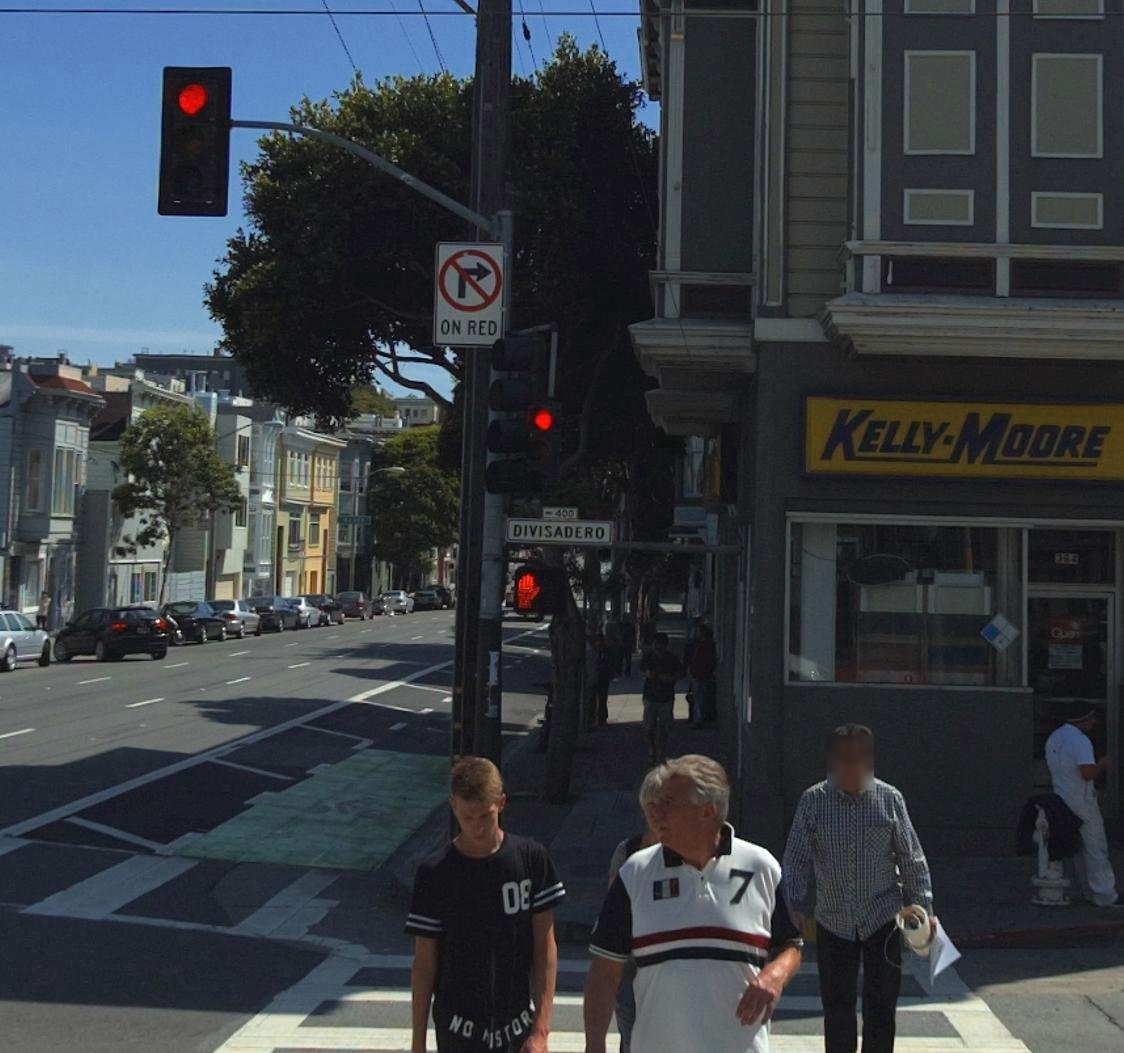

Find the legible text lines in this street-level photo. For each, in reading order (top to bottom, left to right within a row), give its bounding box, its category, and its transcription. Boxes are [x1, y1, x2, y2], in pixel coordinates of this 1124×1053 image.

[440, 315, 498, 338] None: ON RED
[814, 404, 1117, 469] BusinessName: KELLY-MOORE
[543, 507, 576, 519] StreetNumberRange: <-400
[511, 522, 605, 540] StreetName: DIVISADERO
[1054, 552, 1079, 566] StreetNumber: 3*4
[1050, 627, 1080, 642] None: Open
[500, 876, 532, 916] None: 8*
[724, 864, 761, 911] None: 7
[443, 1007, 534, 1051] None: NO *ISTOR